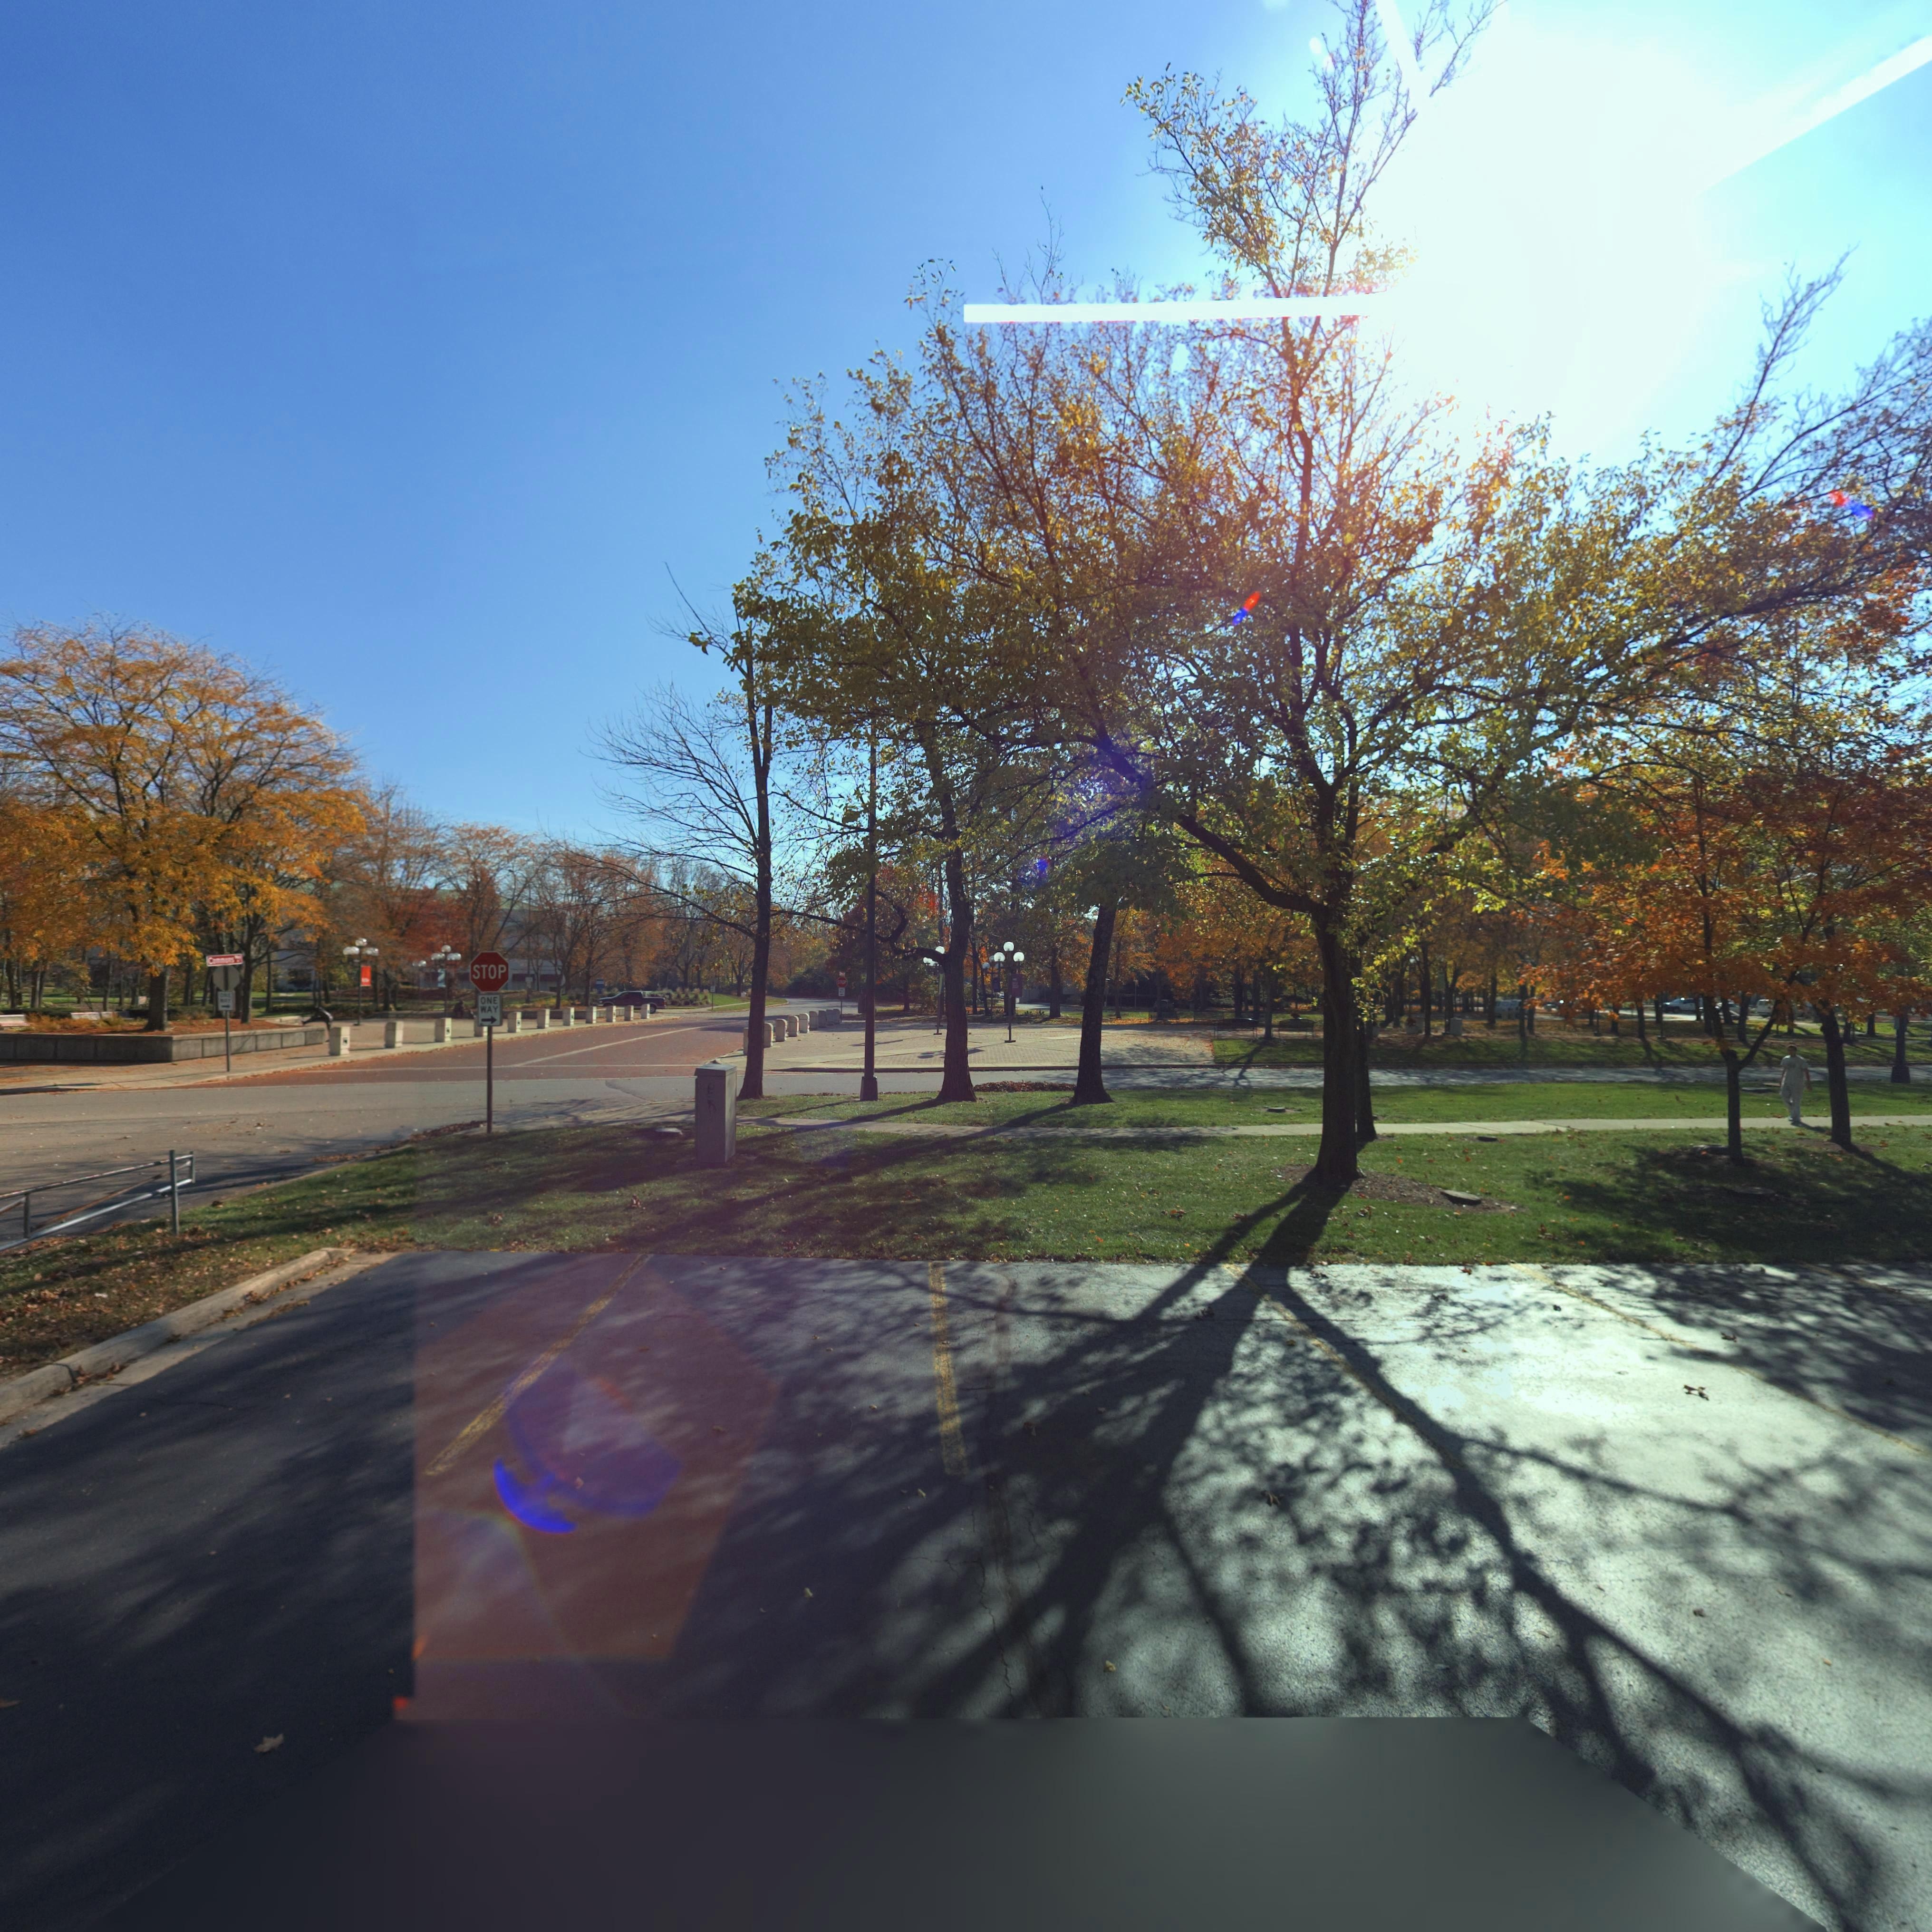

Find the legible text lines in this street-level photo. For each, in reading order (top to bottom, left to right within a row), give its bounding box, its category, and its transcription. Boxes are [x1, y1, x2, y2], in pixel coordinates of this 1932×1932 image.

[206, 956, 215, 965] None: C
[472, 962, 509, 981] None: STOP
[837, 979, 847, 985] None: STOP
[479, 995, 499, 1005] None: ONE
[478, 1005, 500, 1014] None: WAY